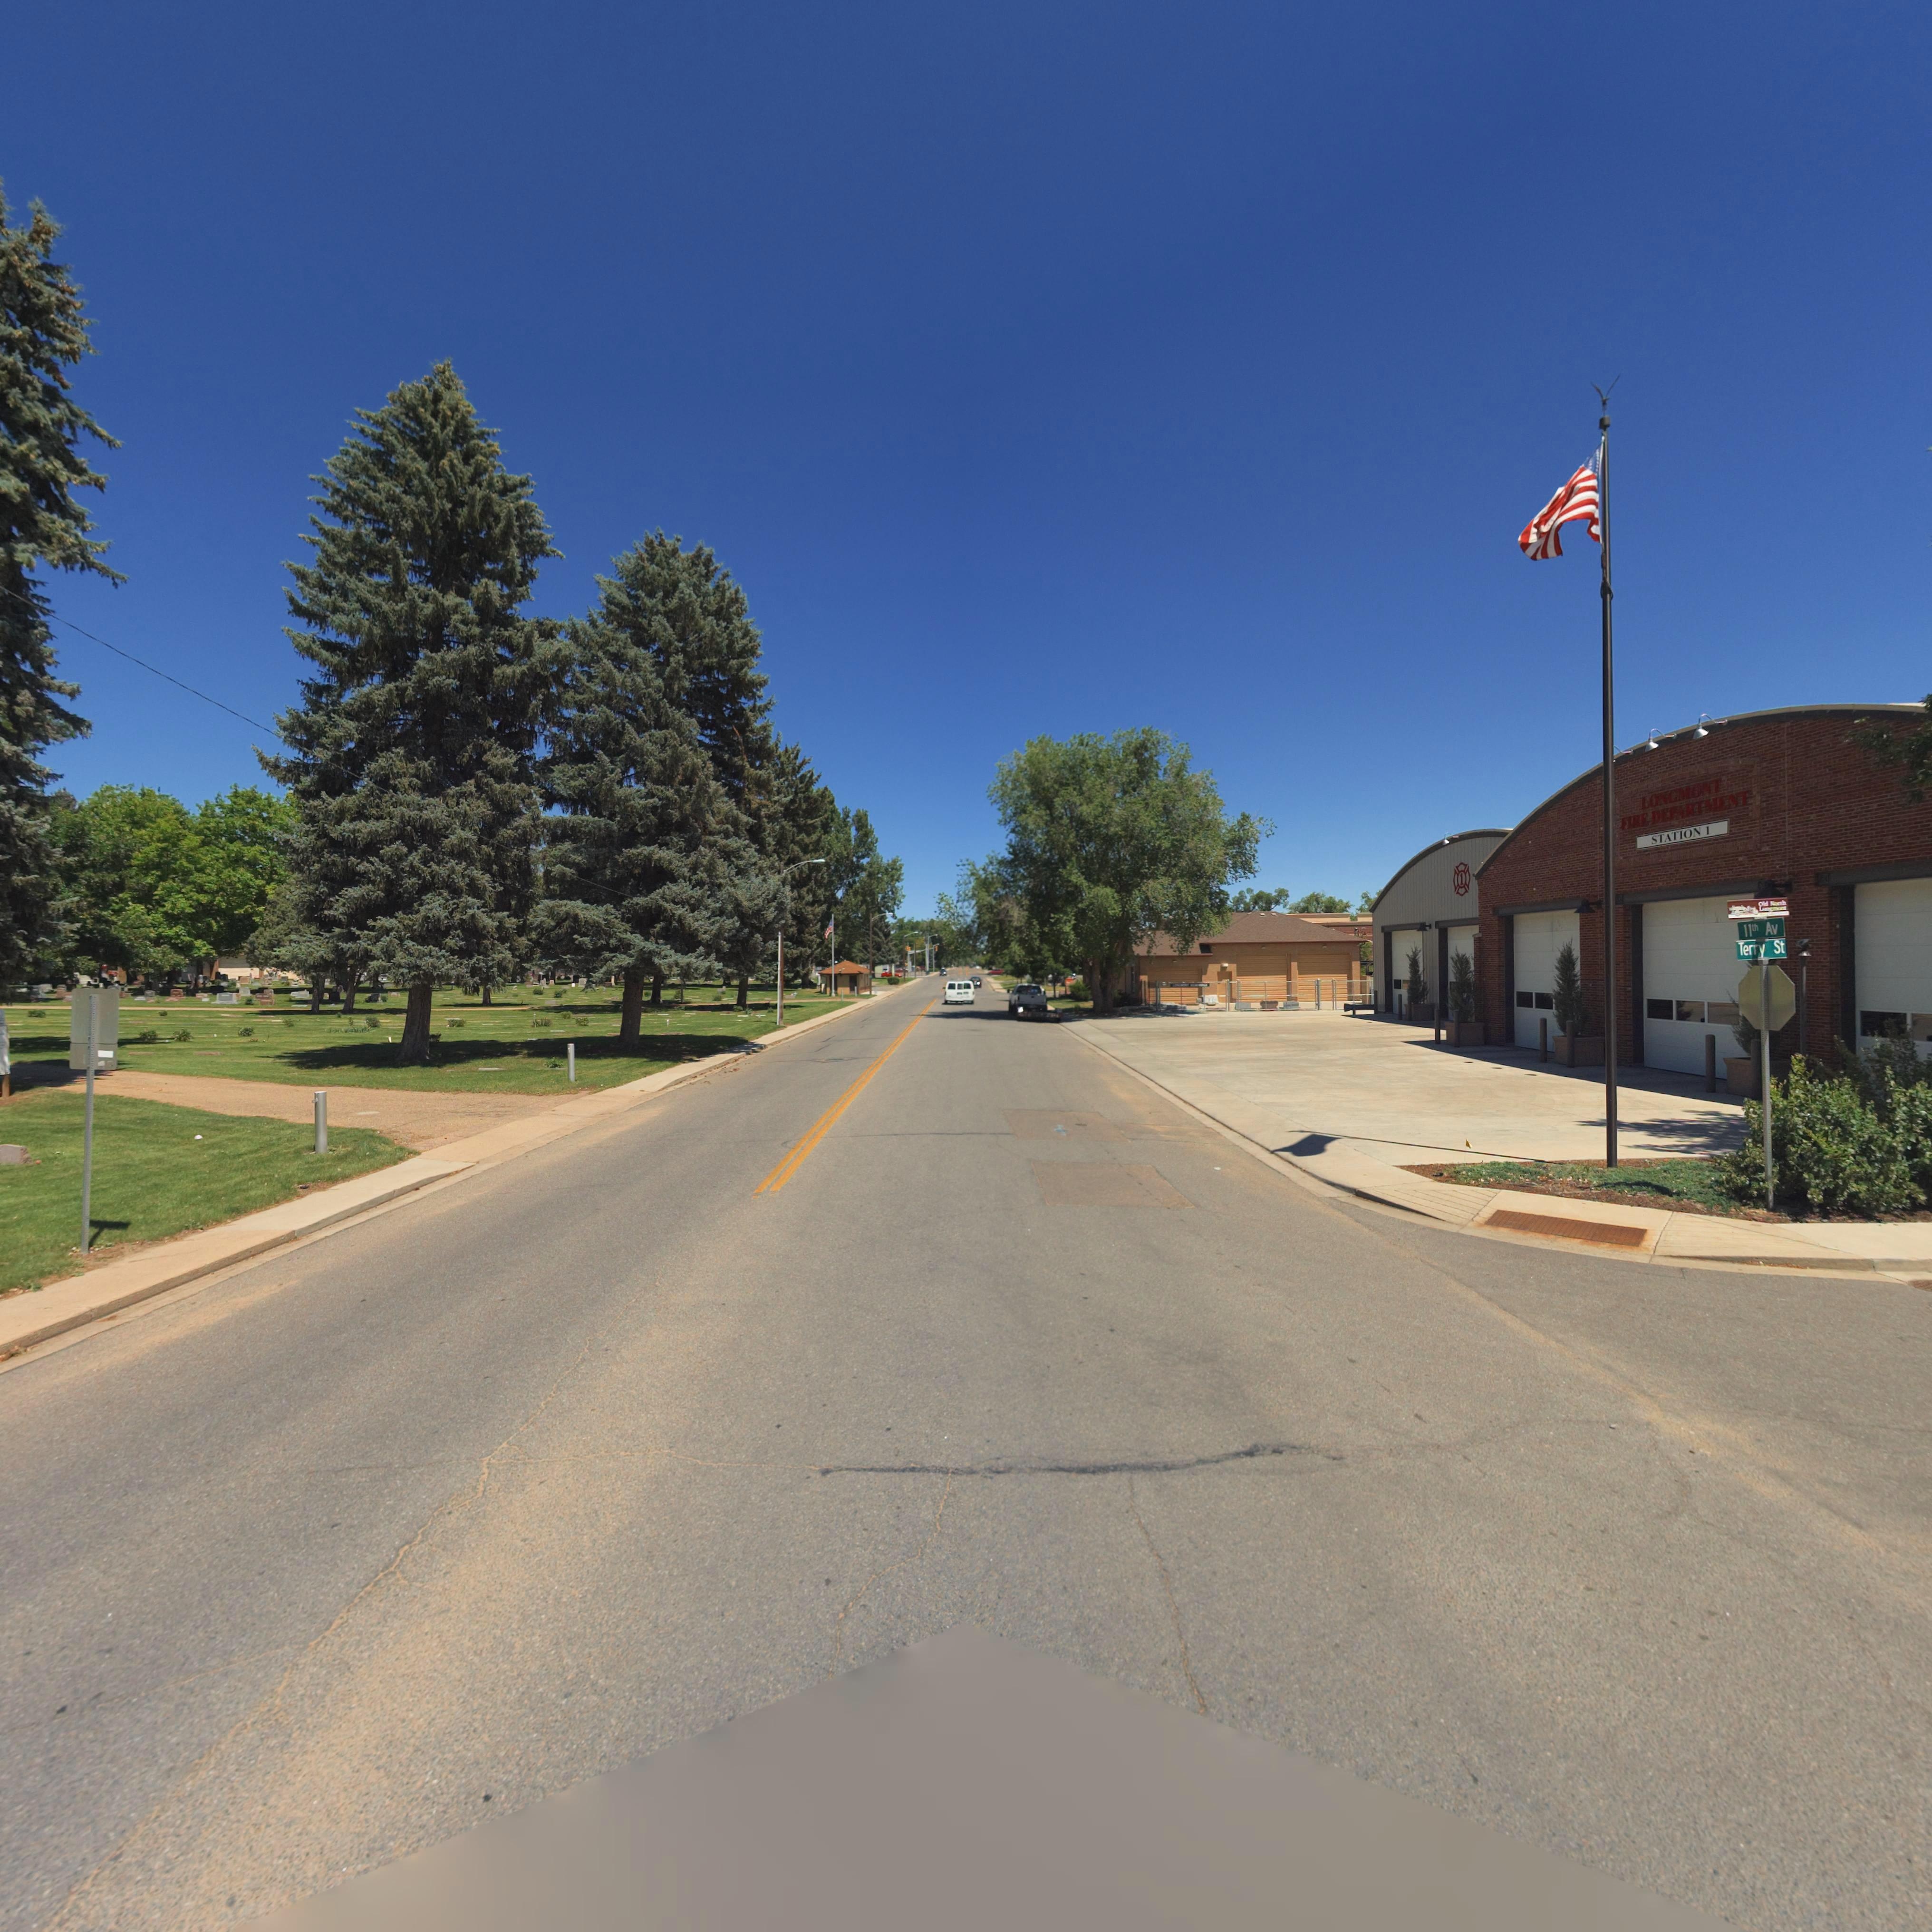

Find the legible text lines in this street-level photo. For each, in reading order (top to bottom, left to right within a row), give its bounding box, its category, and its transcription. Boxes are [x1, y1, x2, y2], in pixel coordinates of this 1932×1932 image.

[1638, 775, 1724, 811] BusinessName: LONGMONT
[1621, 789, 1755, 831] BusinessName: FIRE DEPARTMENT
[1742, 921, 1778, 937] StreetName: 11th Av
[1737, 939, 1786, 958] StreetName: Terry St